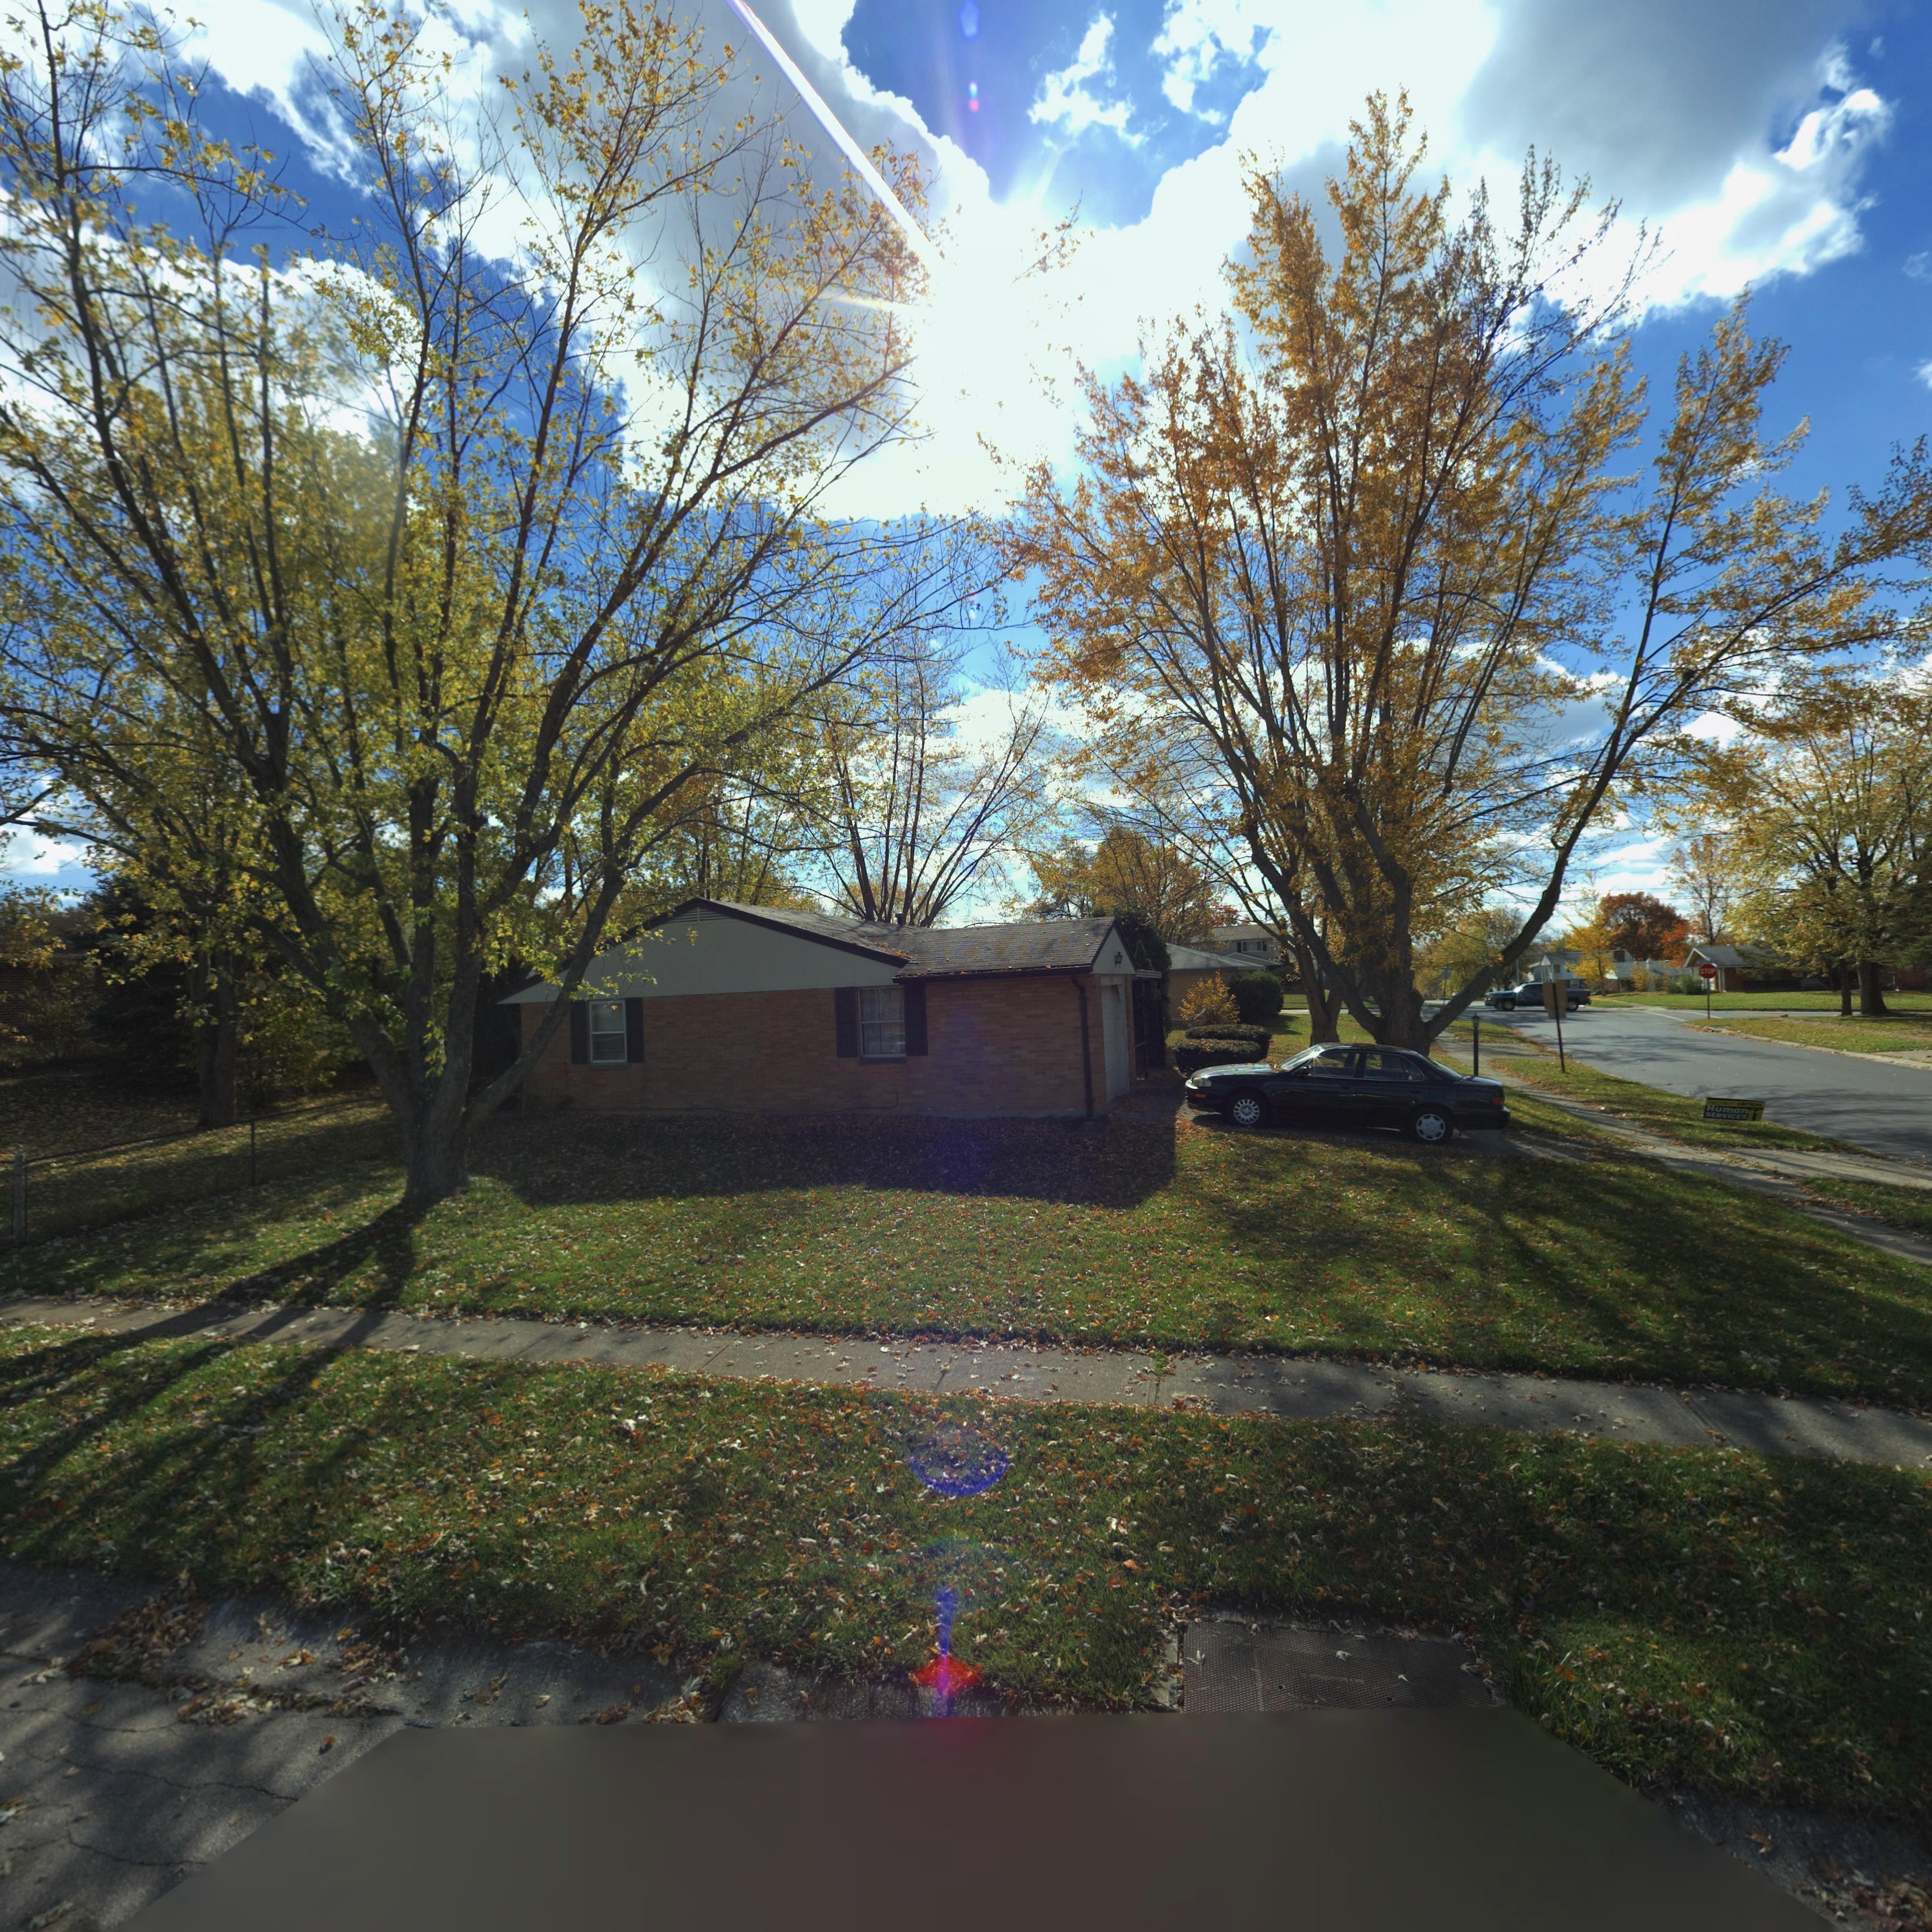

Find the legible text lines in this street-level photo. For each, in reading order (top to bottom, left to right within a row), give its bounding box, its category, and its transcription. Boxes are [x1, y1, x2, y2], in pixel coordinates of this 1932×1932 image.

[1109, 976, 1113, 983] StreetNumber: 7***